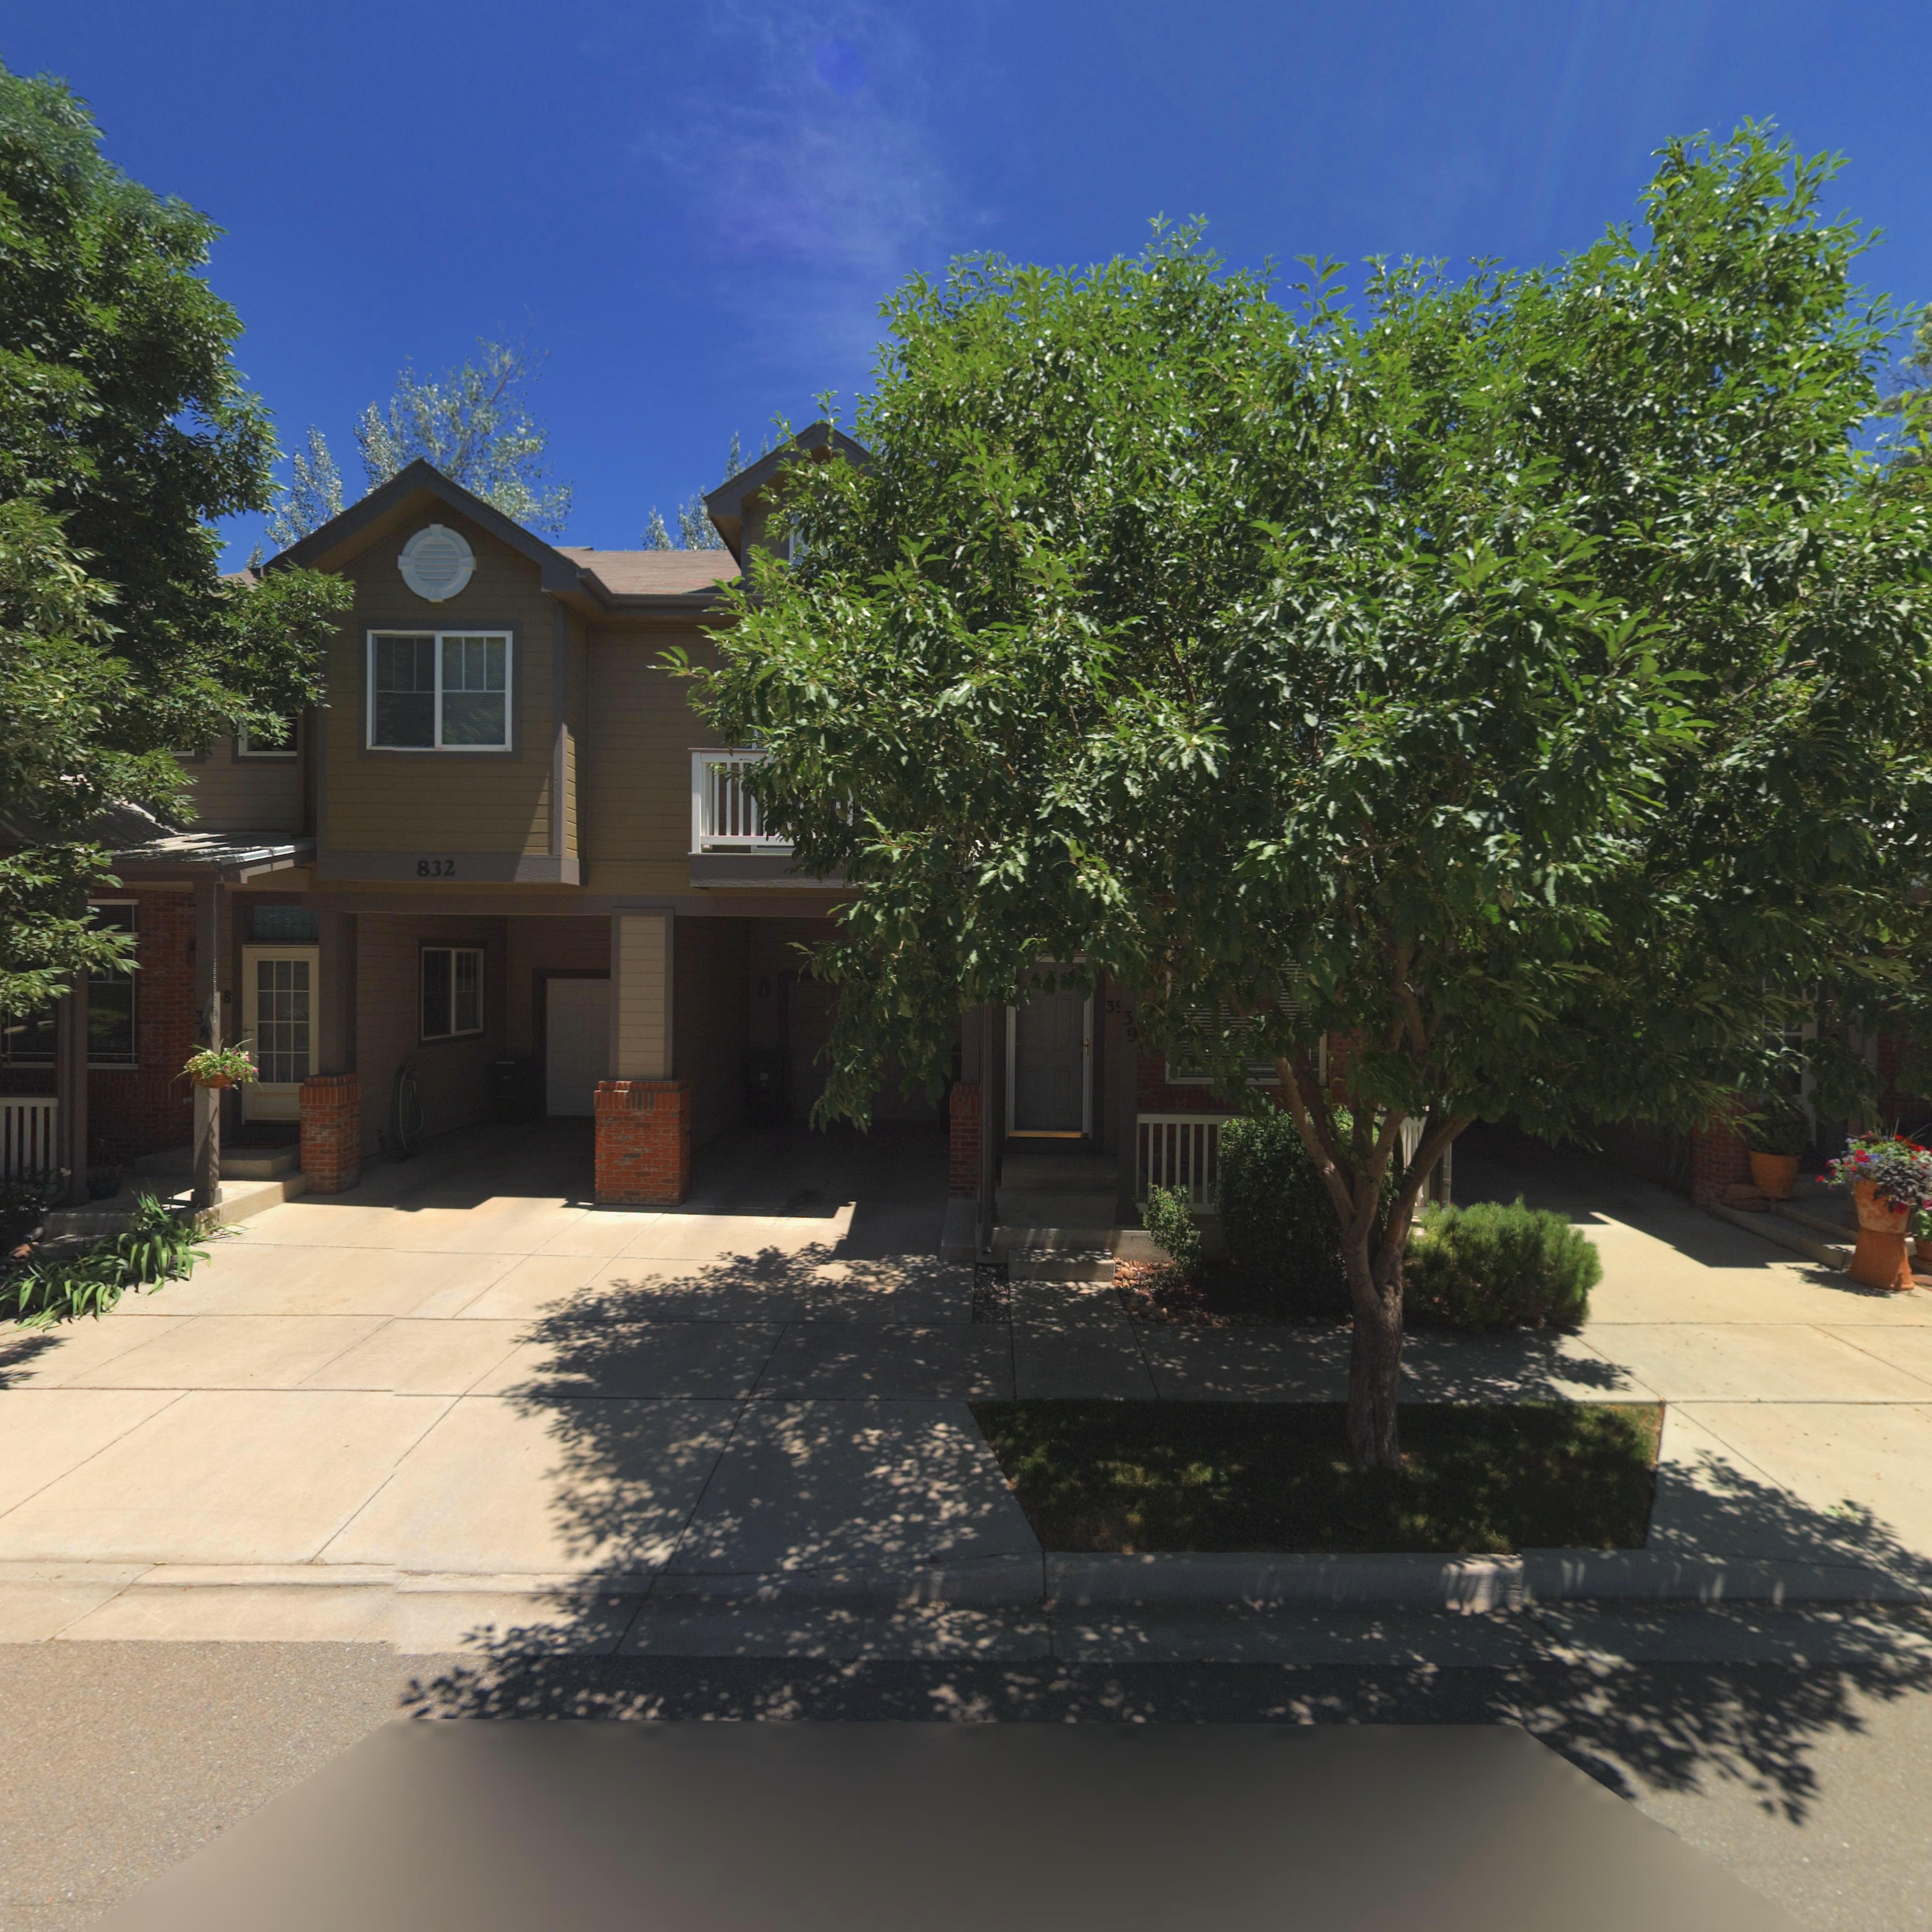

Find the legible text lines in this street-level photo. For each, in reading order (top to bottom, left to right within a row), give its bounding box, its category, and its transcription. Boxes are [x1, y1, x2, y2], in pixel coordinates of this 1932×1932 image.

[415, 859, 455, 878] StreetNumber: 832
[220, 989, 232, 1004] StreetNumber: *8
[1104, 998, 1121, 1014] StreetNumber: 3*
[194, 1009, 212, 1041] StreetNumber: 38
[1121, 1010, 1138, 1043] StreetNumber: 39